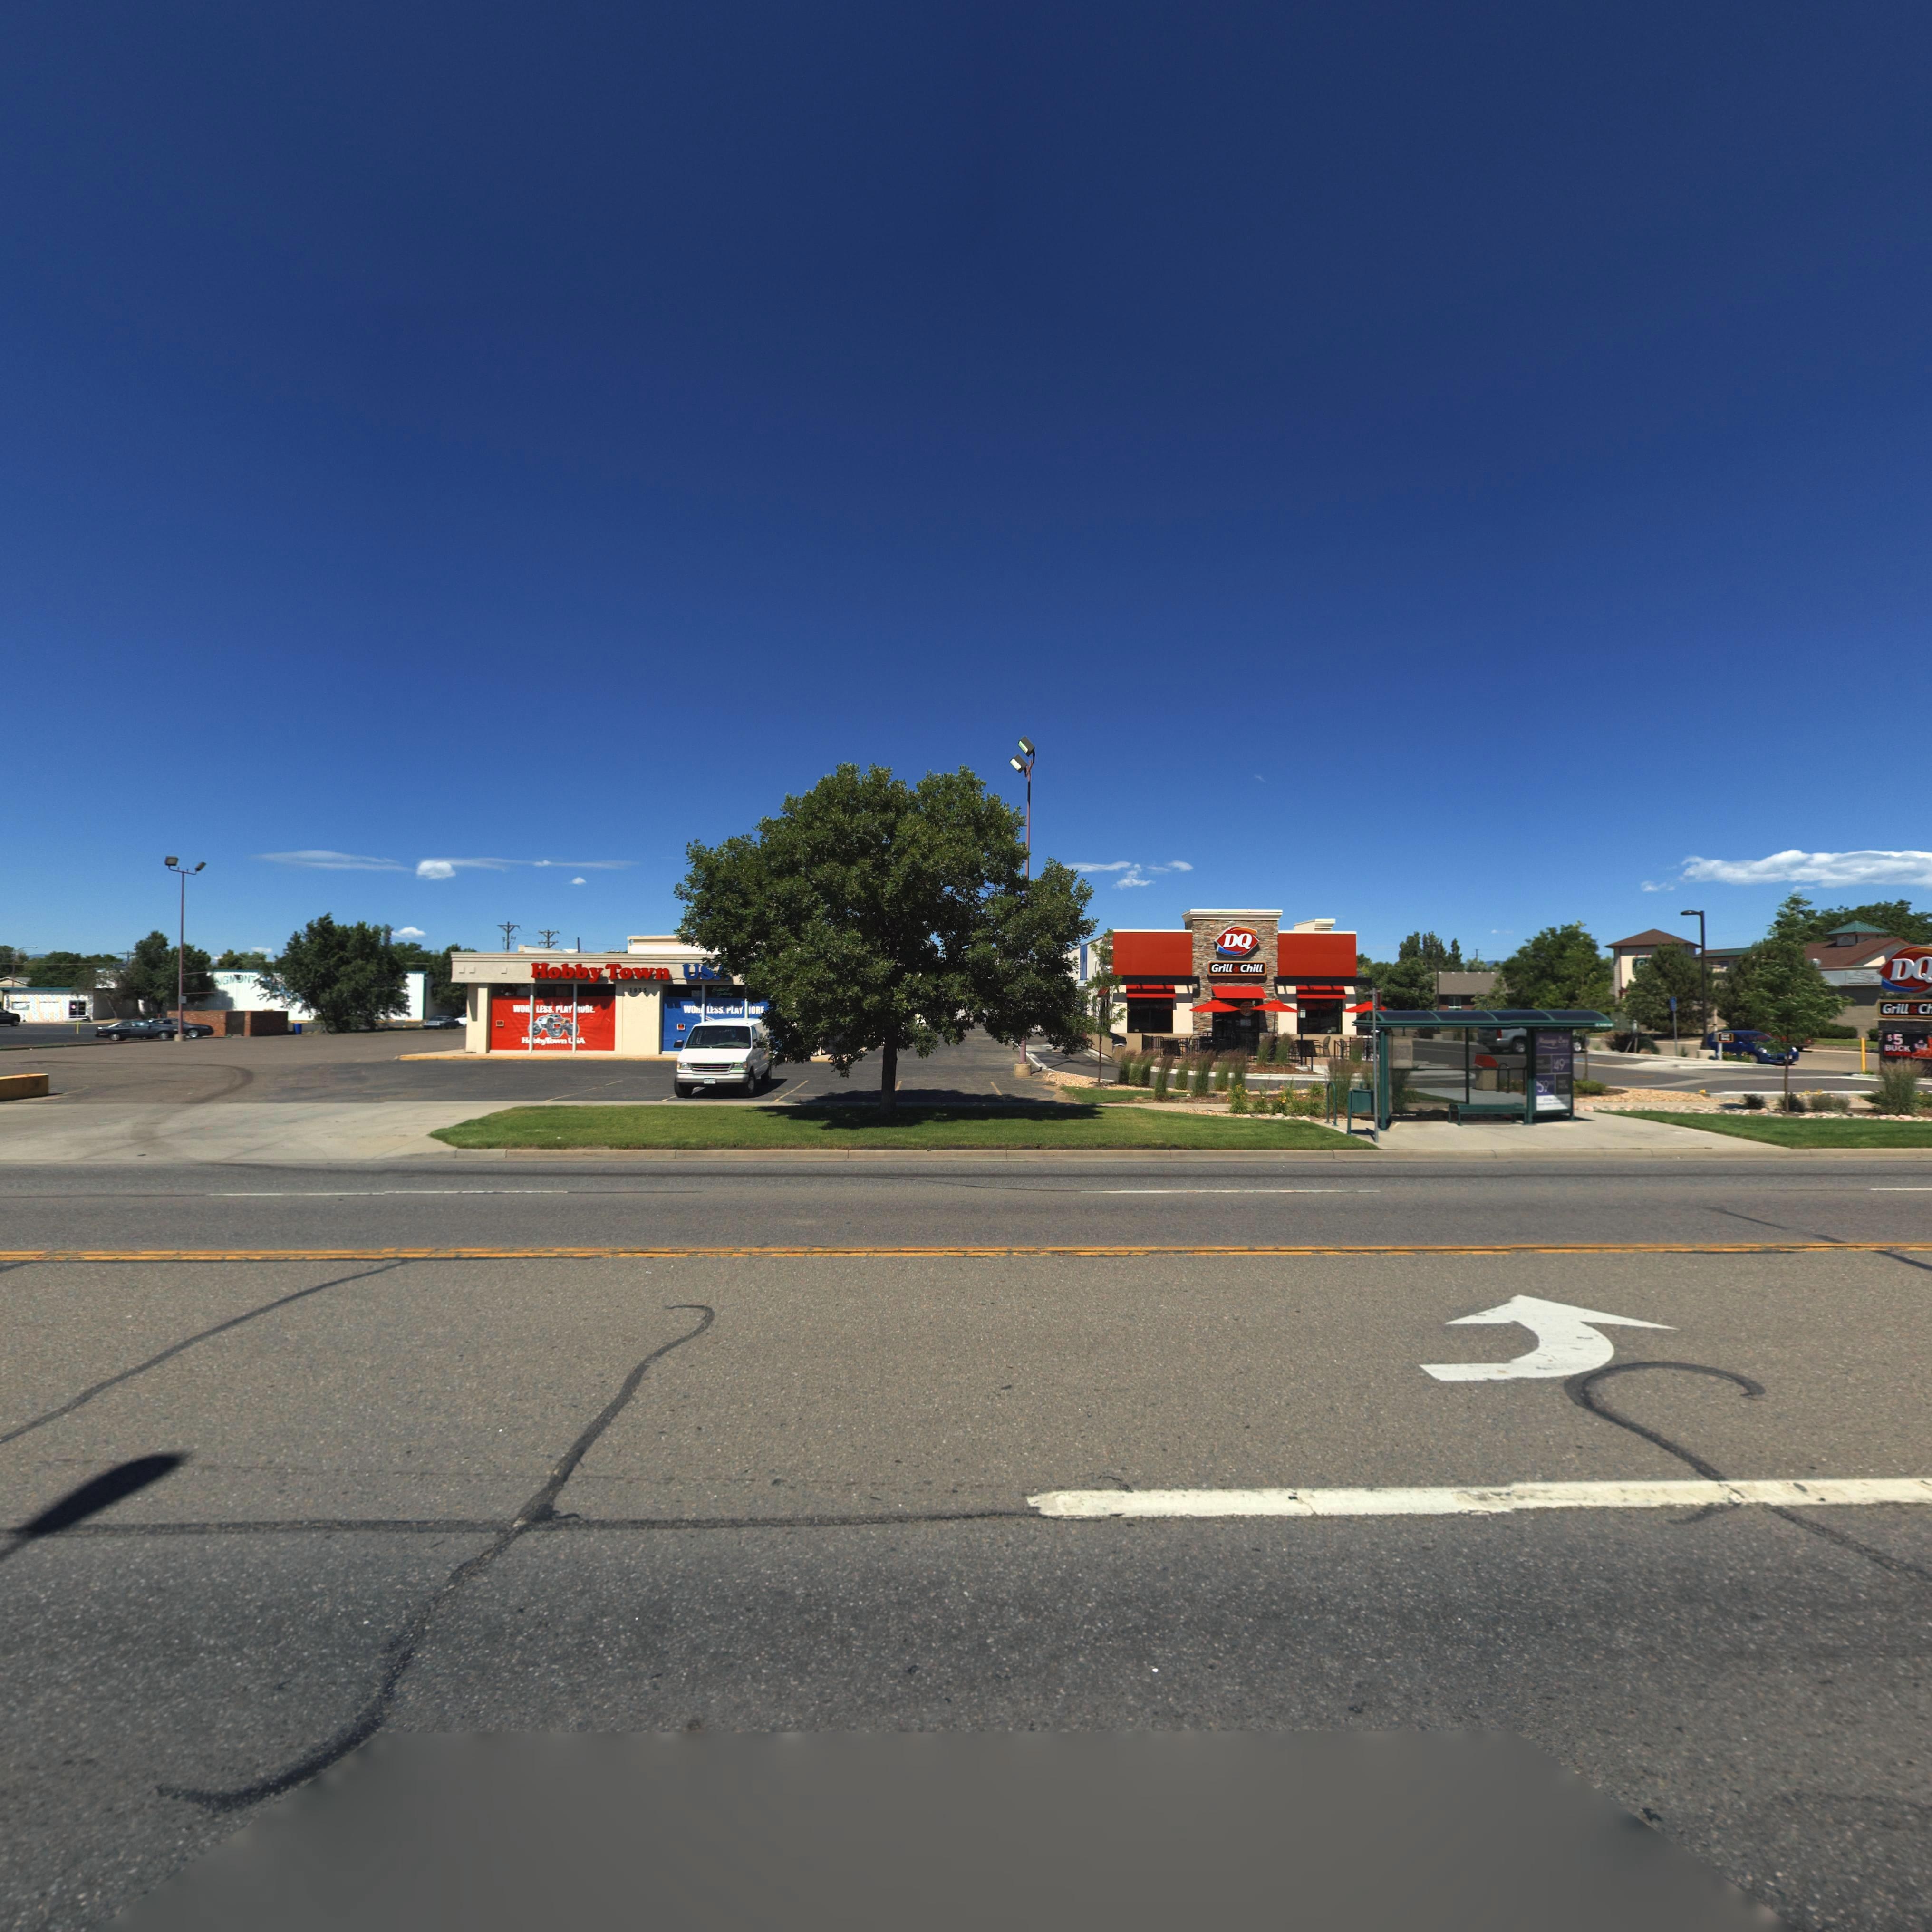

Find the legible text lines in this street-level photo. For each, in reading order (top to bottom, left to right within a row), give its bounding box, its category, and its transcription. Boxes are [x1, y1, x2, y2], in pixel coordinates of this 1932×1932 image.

[1222, 933, 1252, 949] BusinessName: DQ
[530, 962, 733, 983] BusinessName: HobbyTown US*
[1211, 964, 1263, 973] BusinessName: Grill & Chill
[1889, 956, 1931, 984] BusinessName: DQ
[213, 974, 257, 987] BusinessName: NG**NT
[629, 987, 647, 993] StreetNumber: 1935
[1882, 1003, 1928, 1014] BusinessName: Grill & C
[521, 1036, 588, 1046] BusinessName: HobbyTown U*A